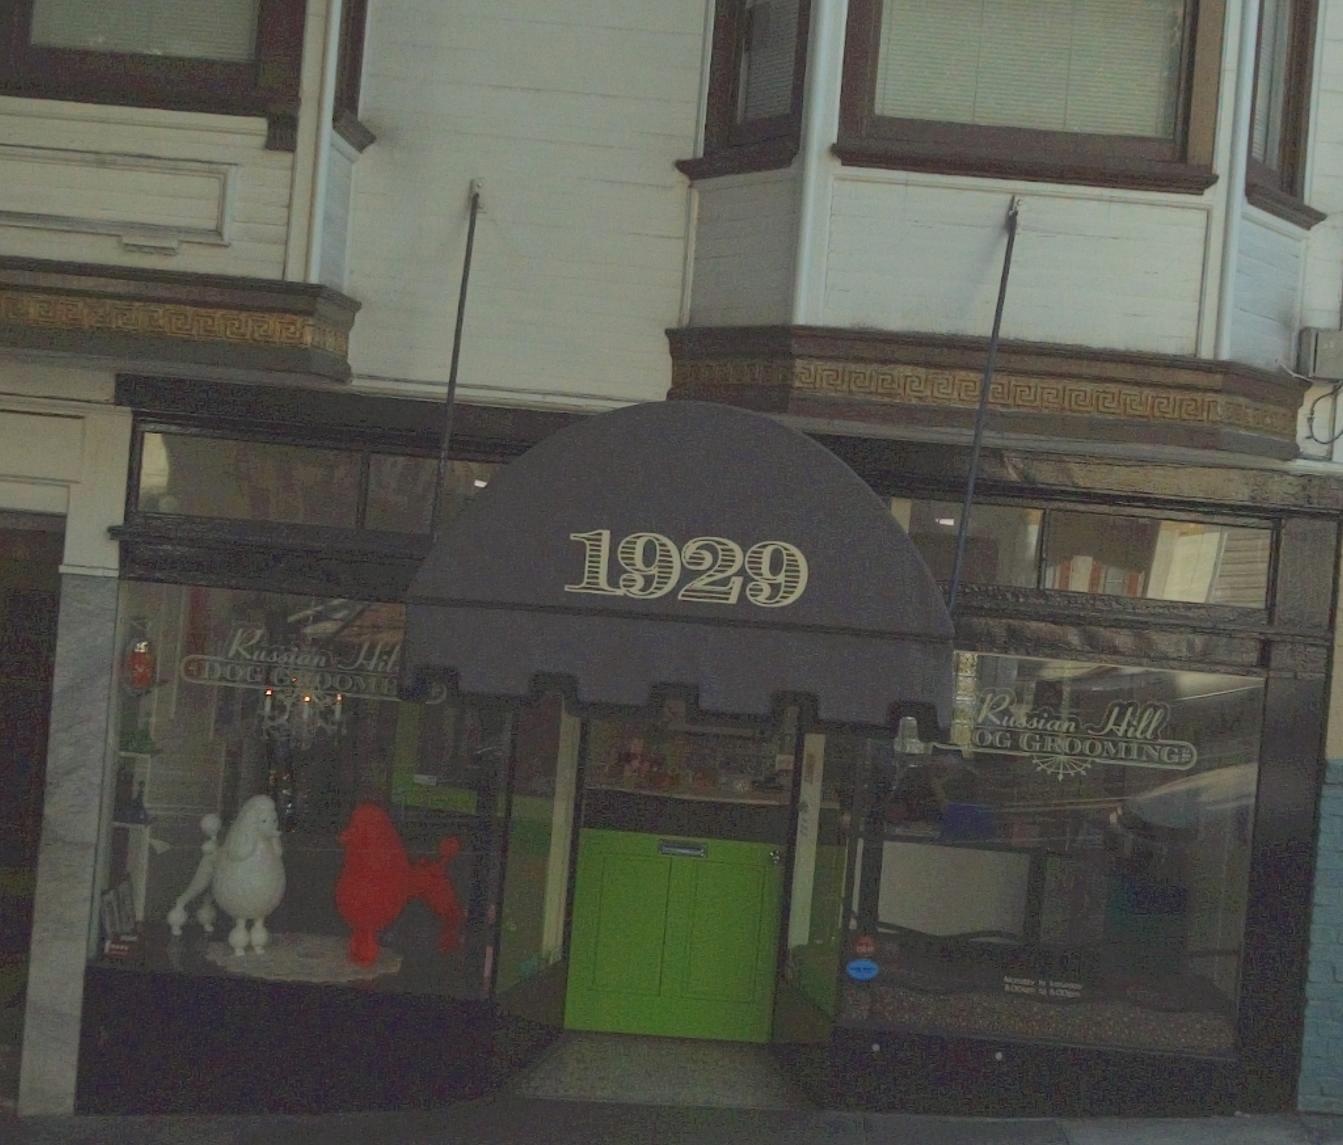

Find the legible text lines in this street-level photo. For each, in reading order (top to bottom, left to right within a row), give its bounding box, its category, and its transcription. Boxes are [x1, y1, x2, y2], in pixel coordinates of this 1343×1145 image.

[559, 523, 817, 612] StreetNumber: 1929
[225, 624, 405, 675] BusinessName: Russian Hil
[200, 659, 392, 697] BusinessName: DOG GROOMI
[973, 689, 1171, 743] BusinessName: Russian Hill
[947, 724, 1183, 765] BusinessName: DOG GROOMING